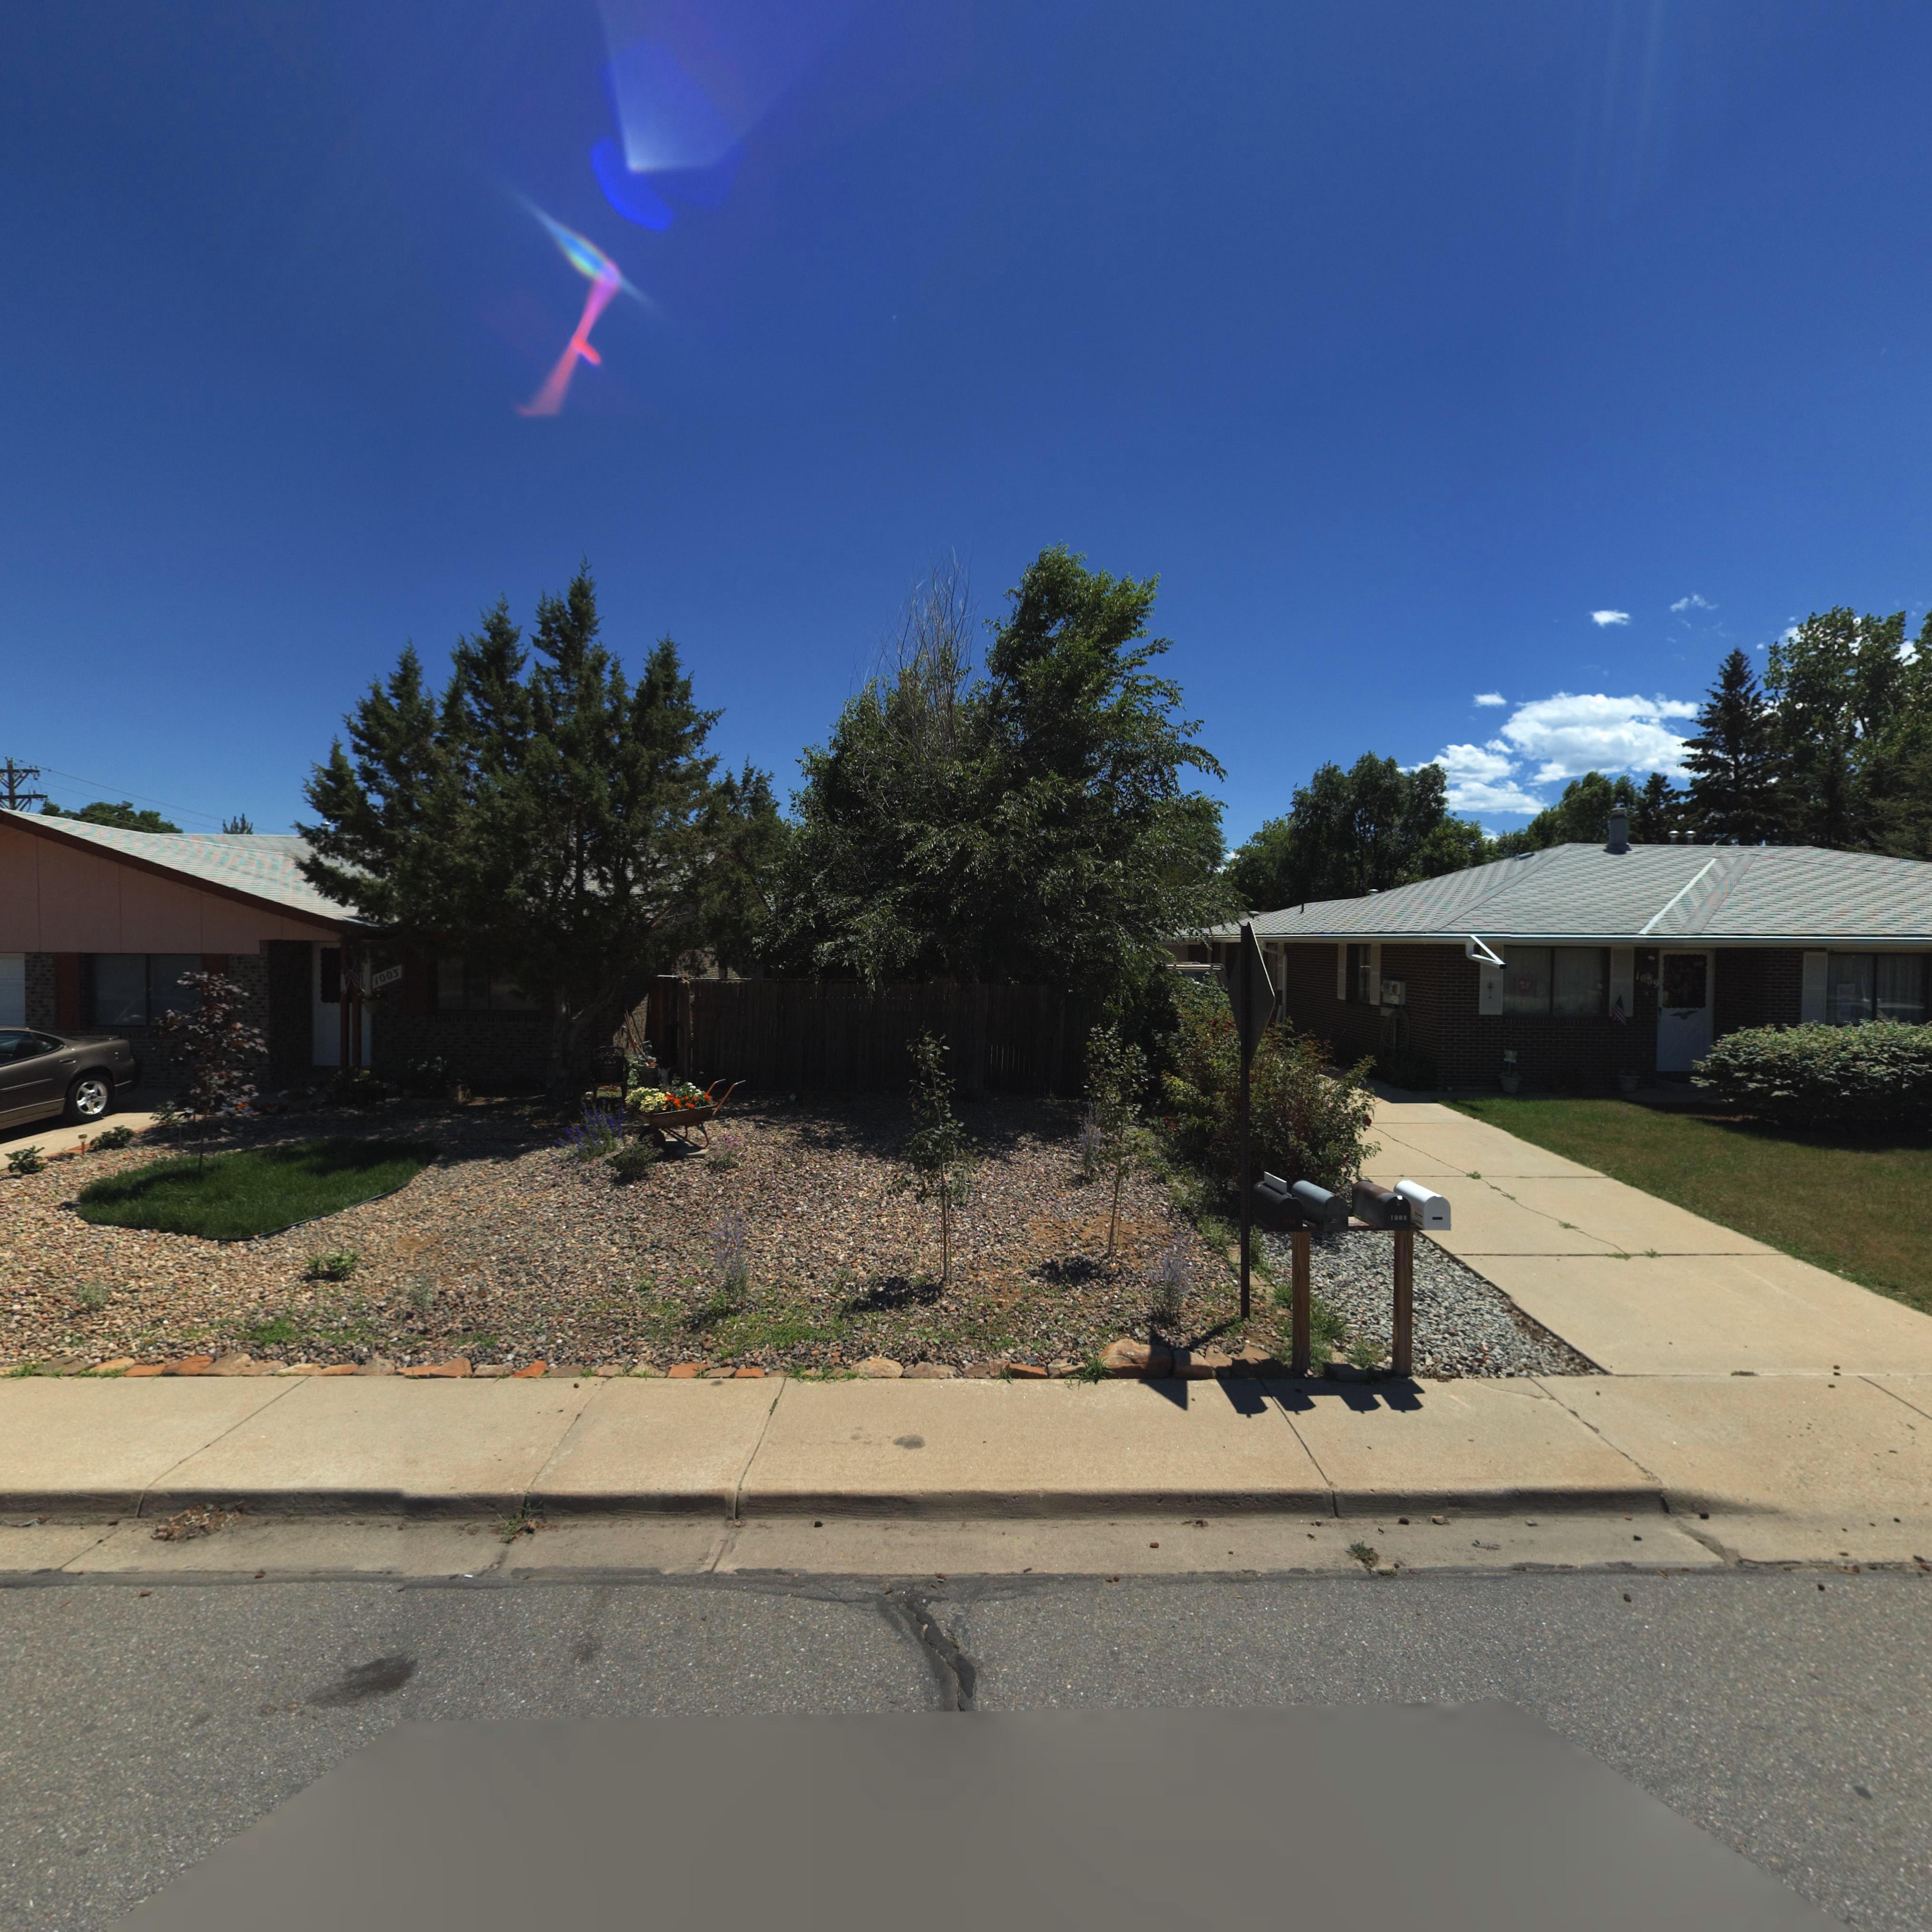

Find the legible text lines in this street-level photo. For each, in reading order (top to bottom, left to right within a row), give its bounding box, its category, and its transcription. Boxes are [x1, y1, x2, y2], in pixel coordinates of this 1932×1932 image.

[374, 969, 399, 986] StreetNumber: 1003
[1635, 970, 1660, 989] StreetNumber: 1**9
[1390, 1214, 1408, 1221] StreetNumber: 1009